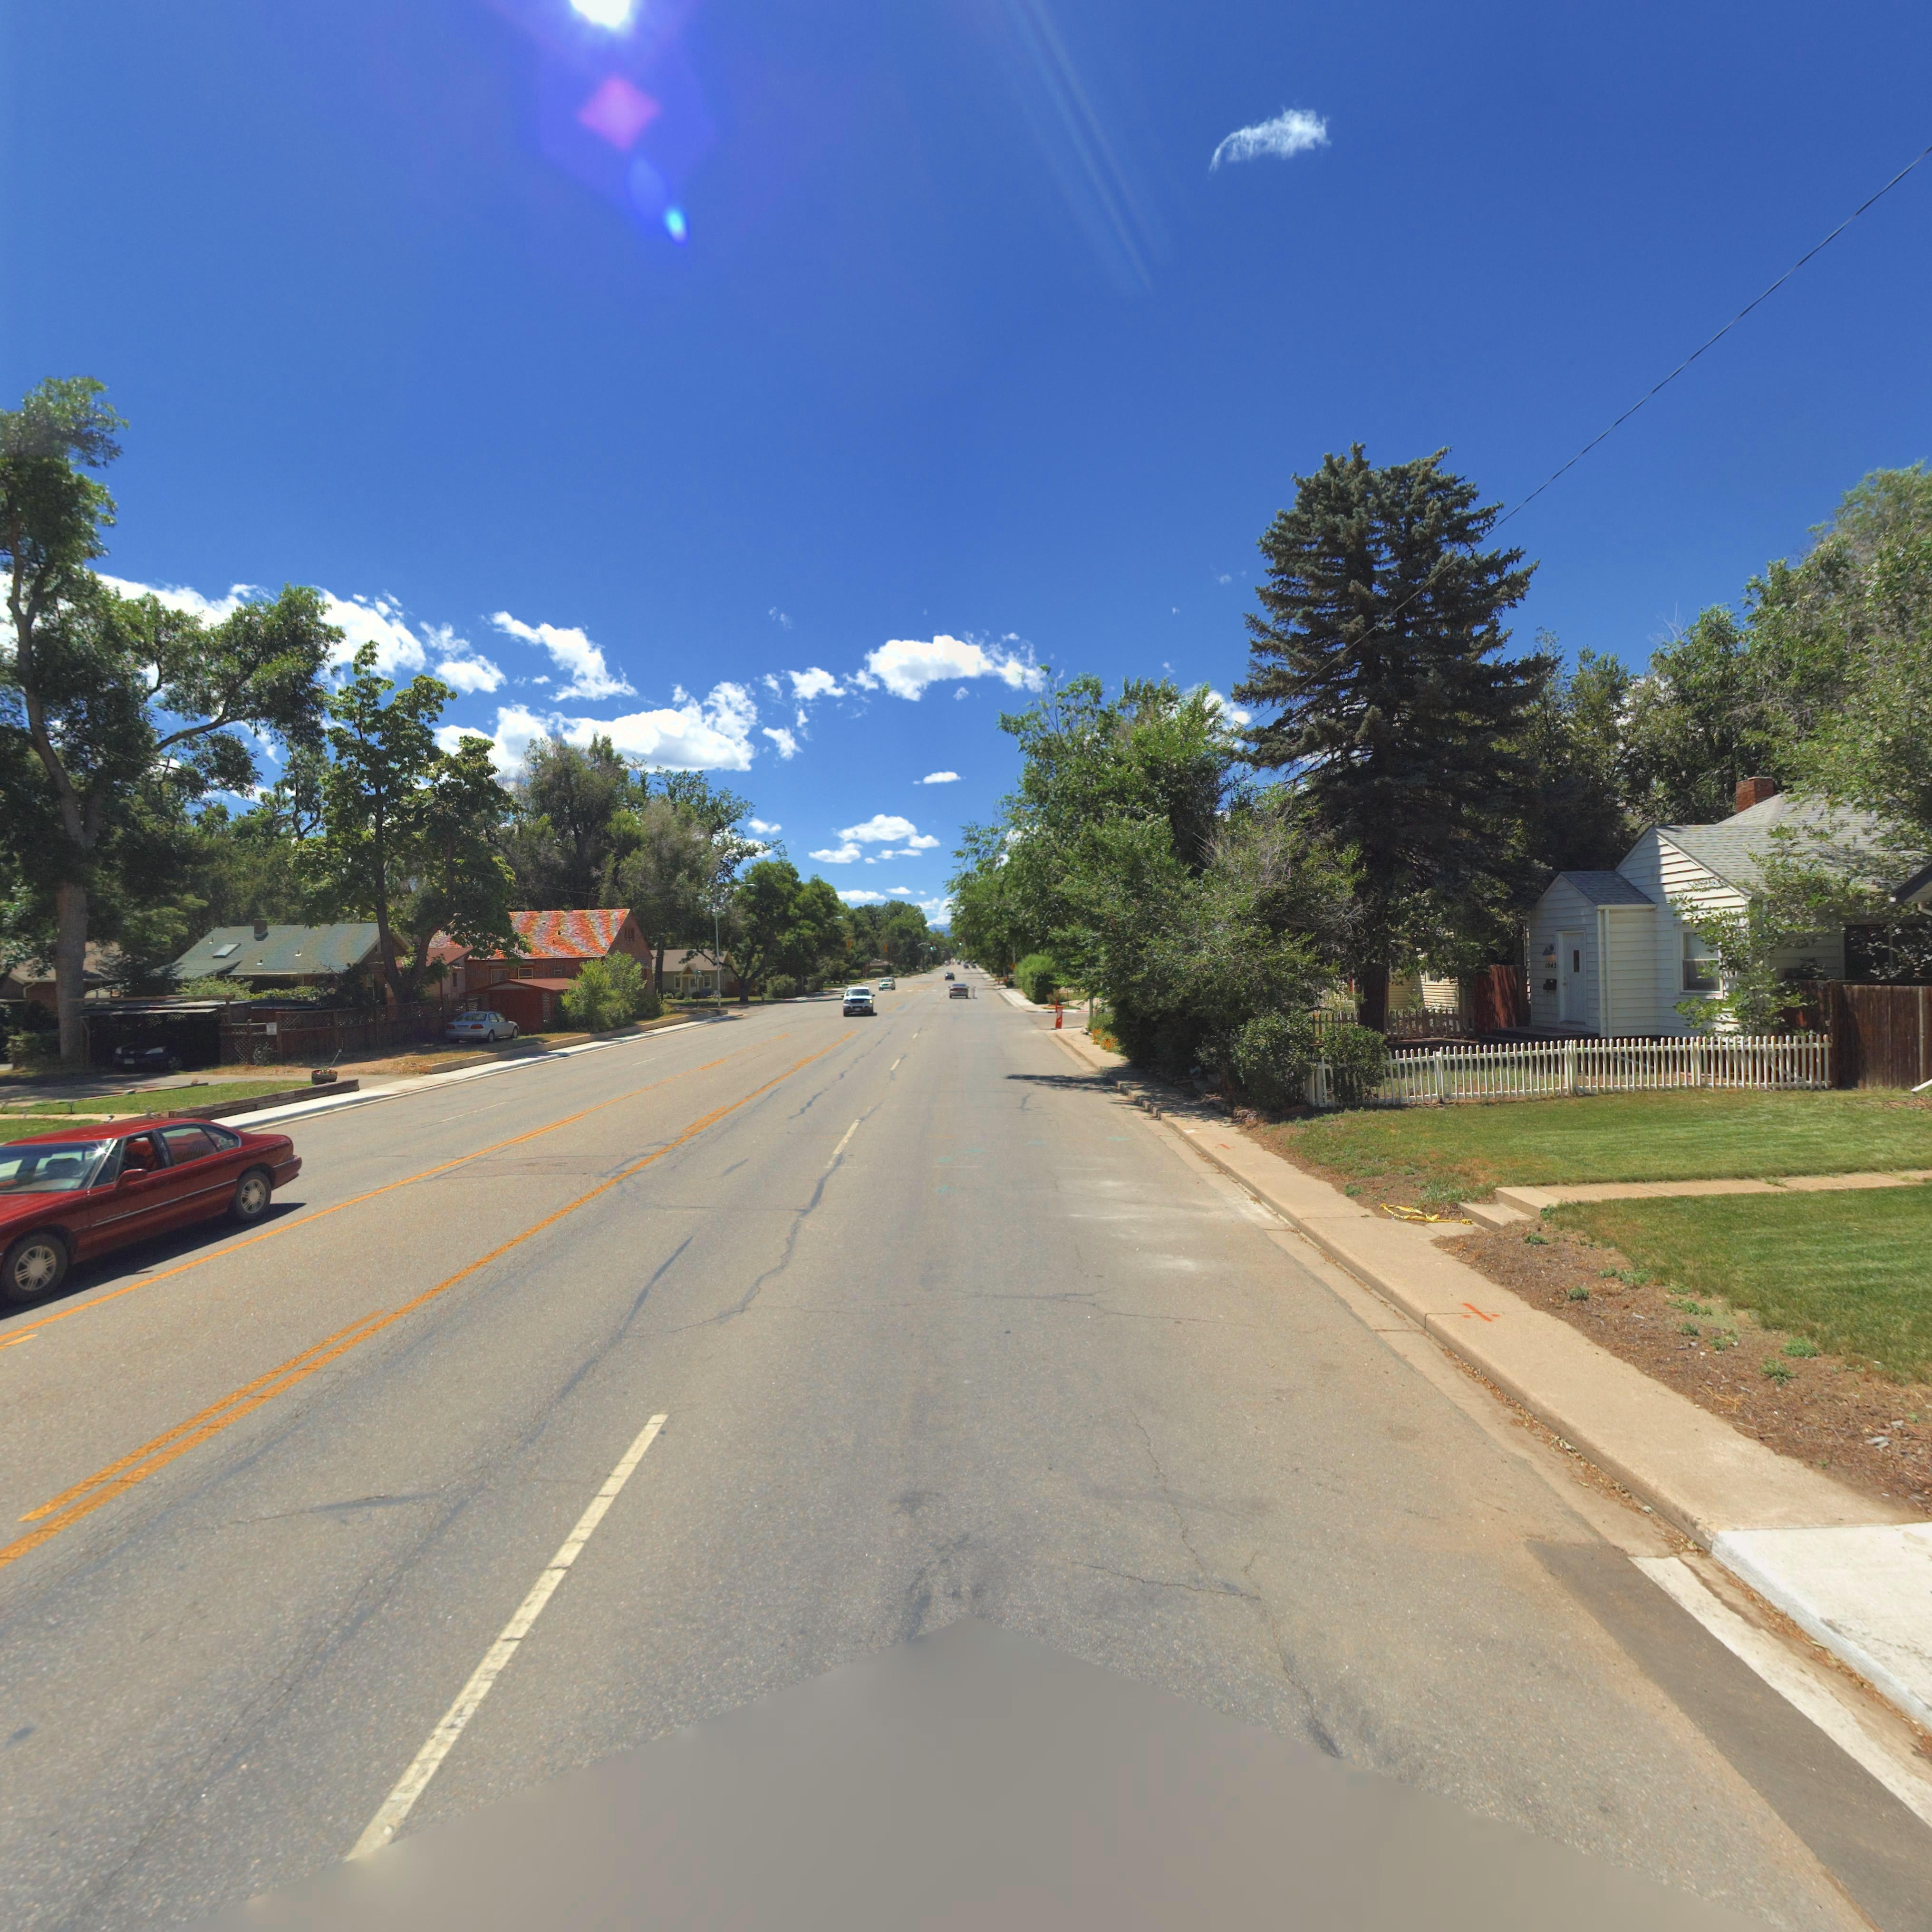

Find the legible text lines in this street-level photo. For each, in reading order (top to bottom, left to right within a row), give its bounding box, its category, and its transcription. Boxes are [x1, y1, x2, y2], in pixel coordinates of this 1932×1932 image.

[1545, 962, 1556, 968] StreetNumber: 1042